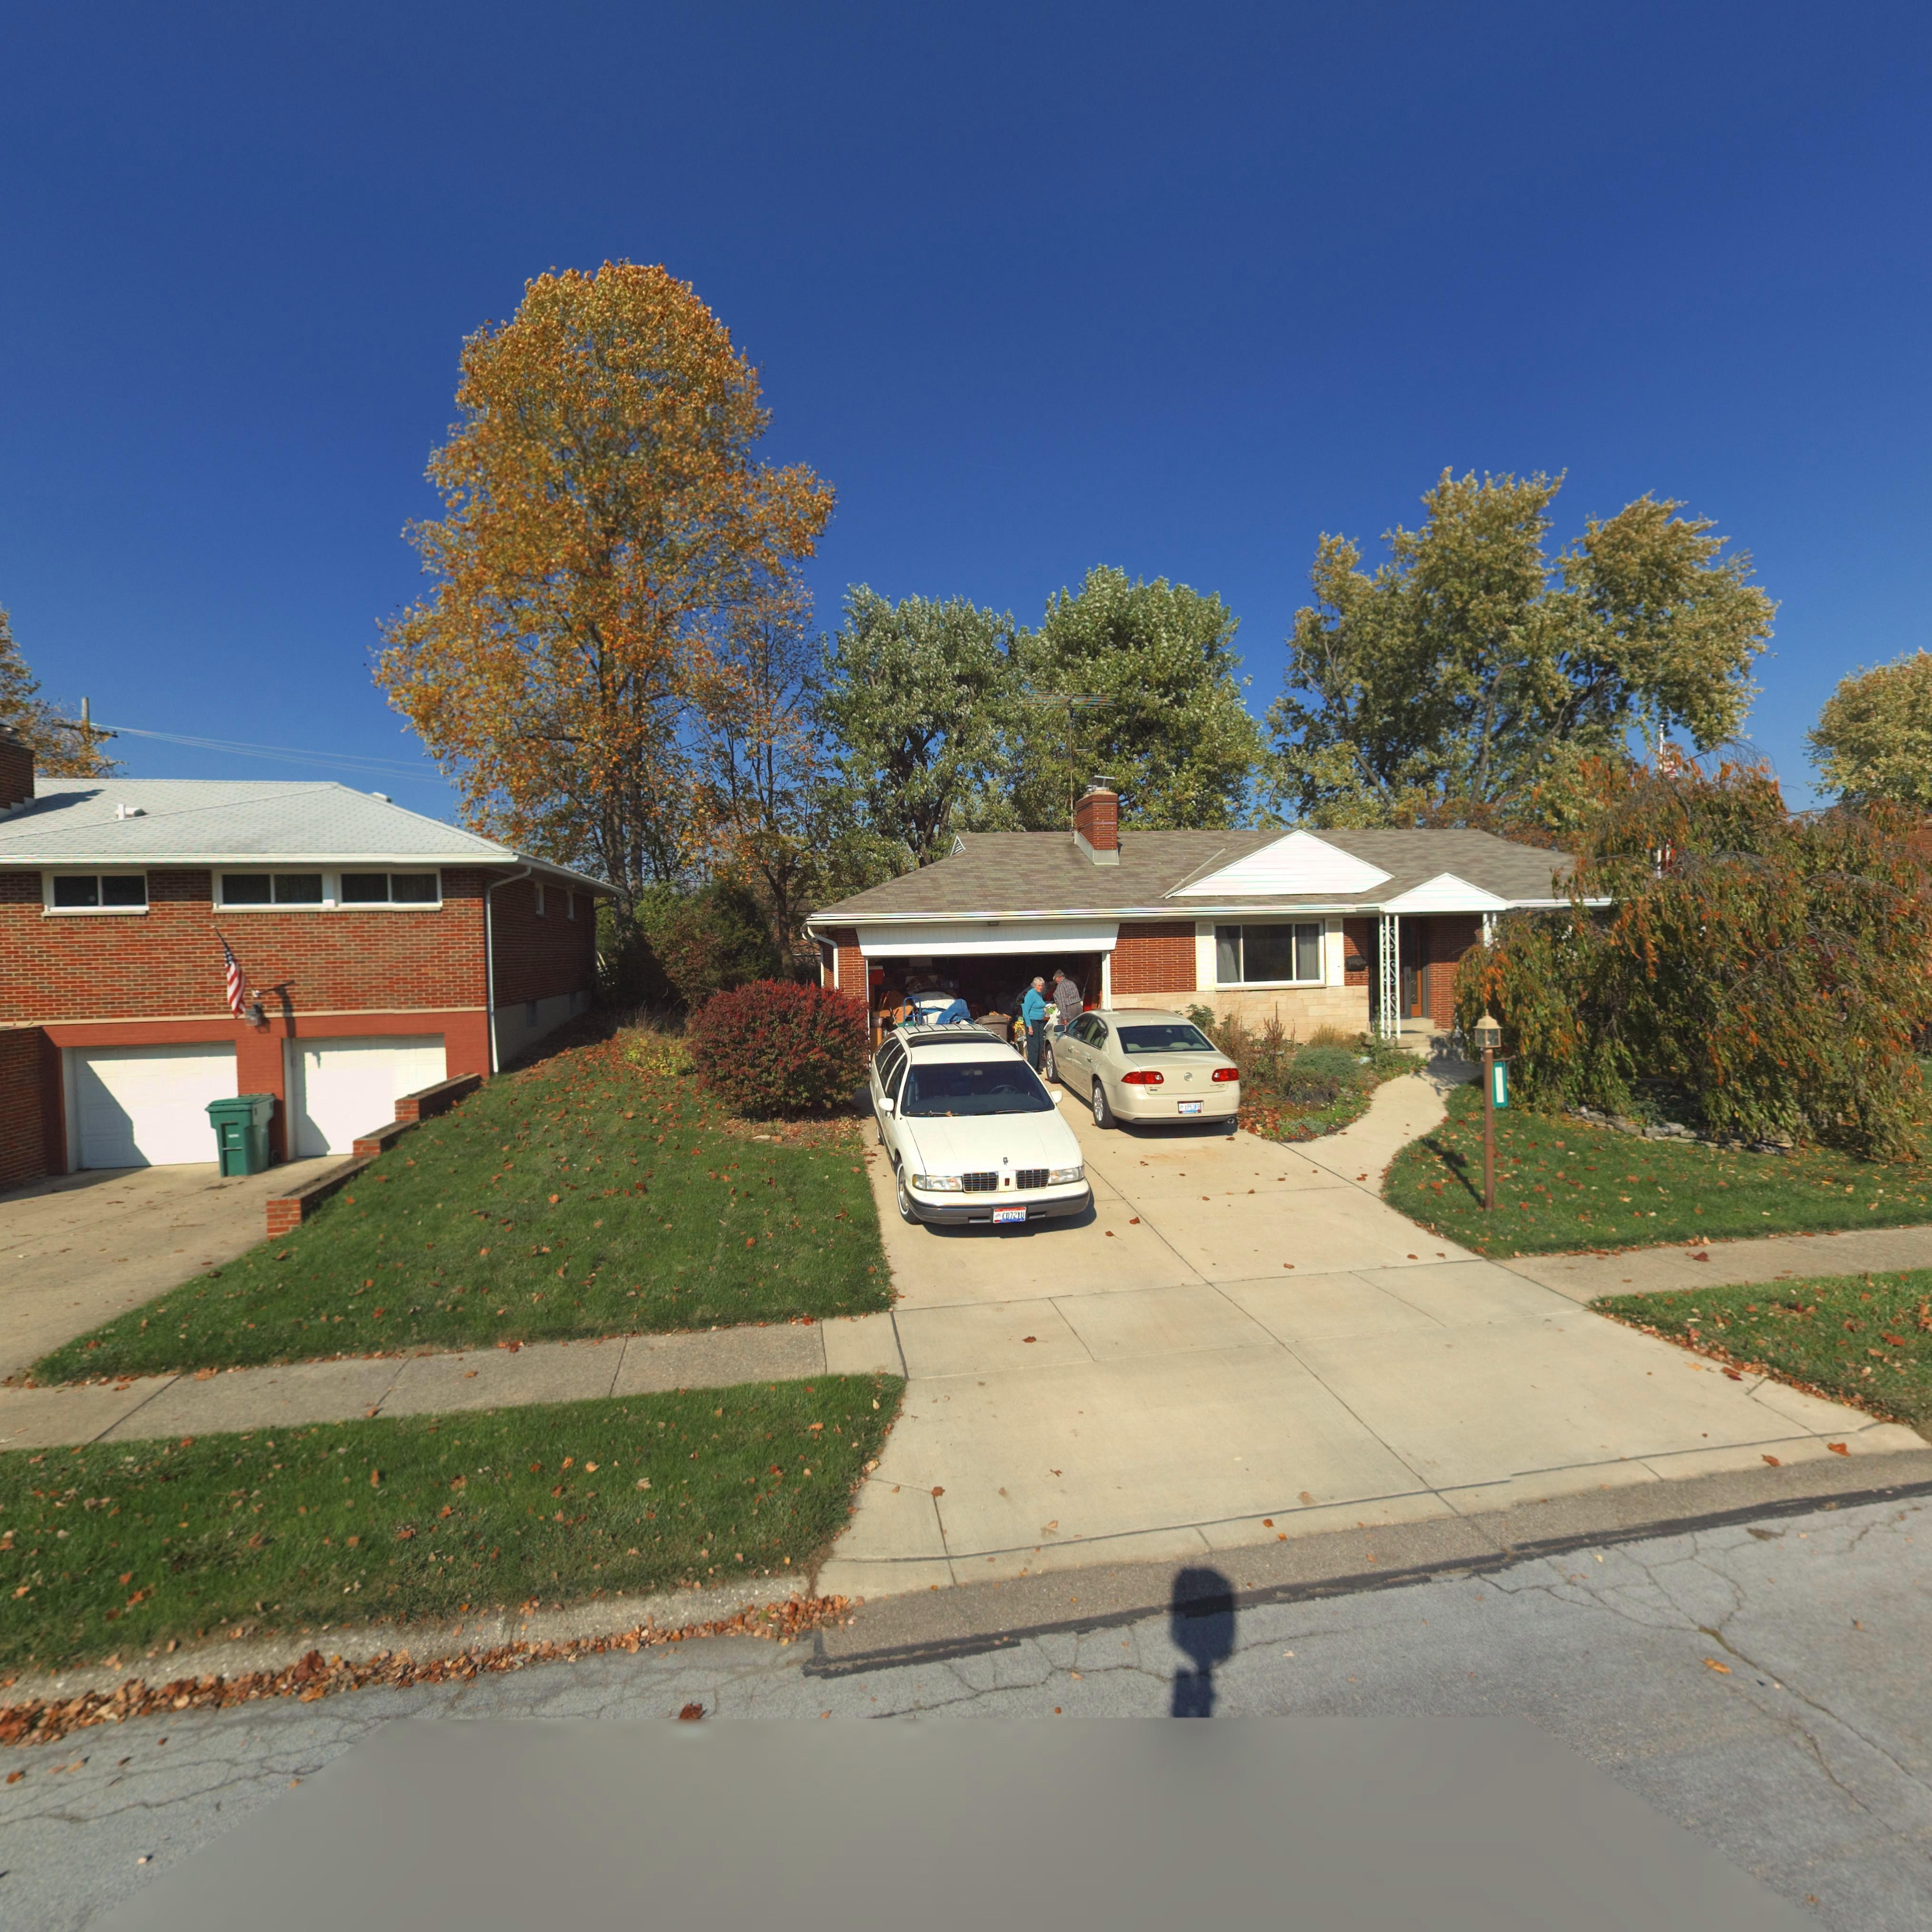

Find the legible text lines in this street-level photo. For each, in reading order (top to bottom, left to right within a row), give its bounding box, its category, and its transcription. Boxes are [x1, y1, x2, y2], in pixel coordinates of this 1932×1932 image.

[1183, 1103, 1201, 1111] None: *P53**
[1001, 1210, 1025, 1221] None: CD72YU